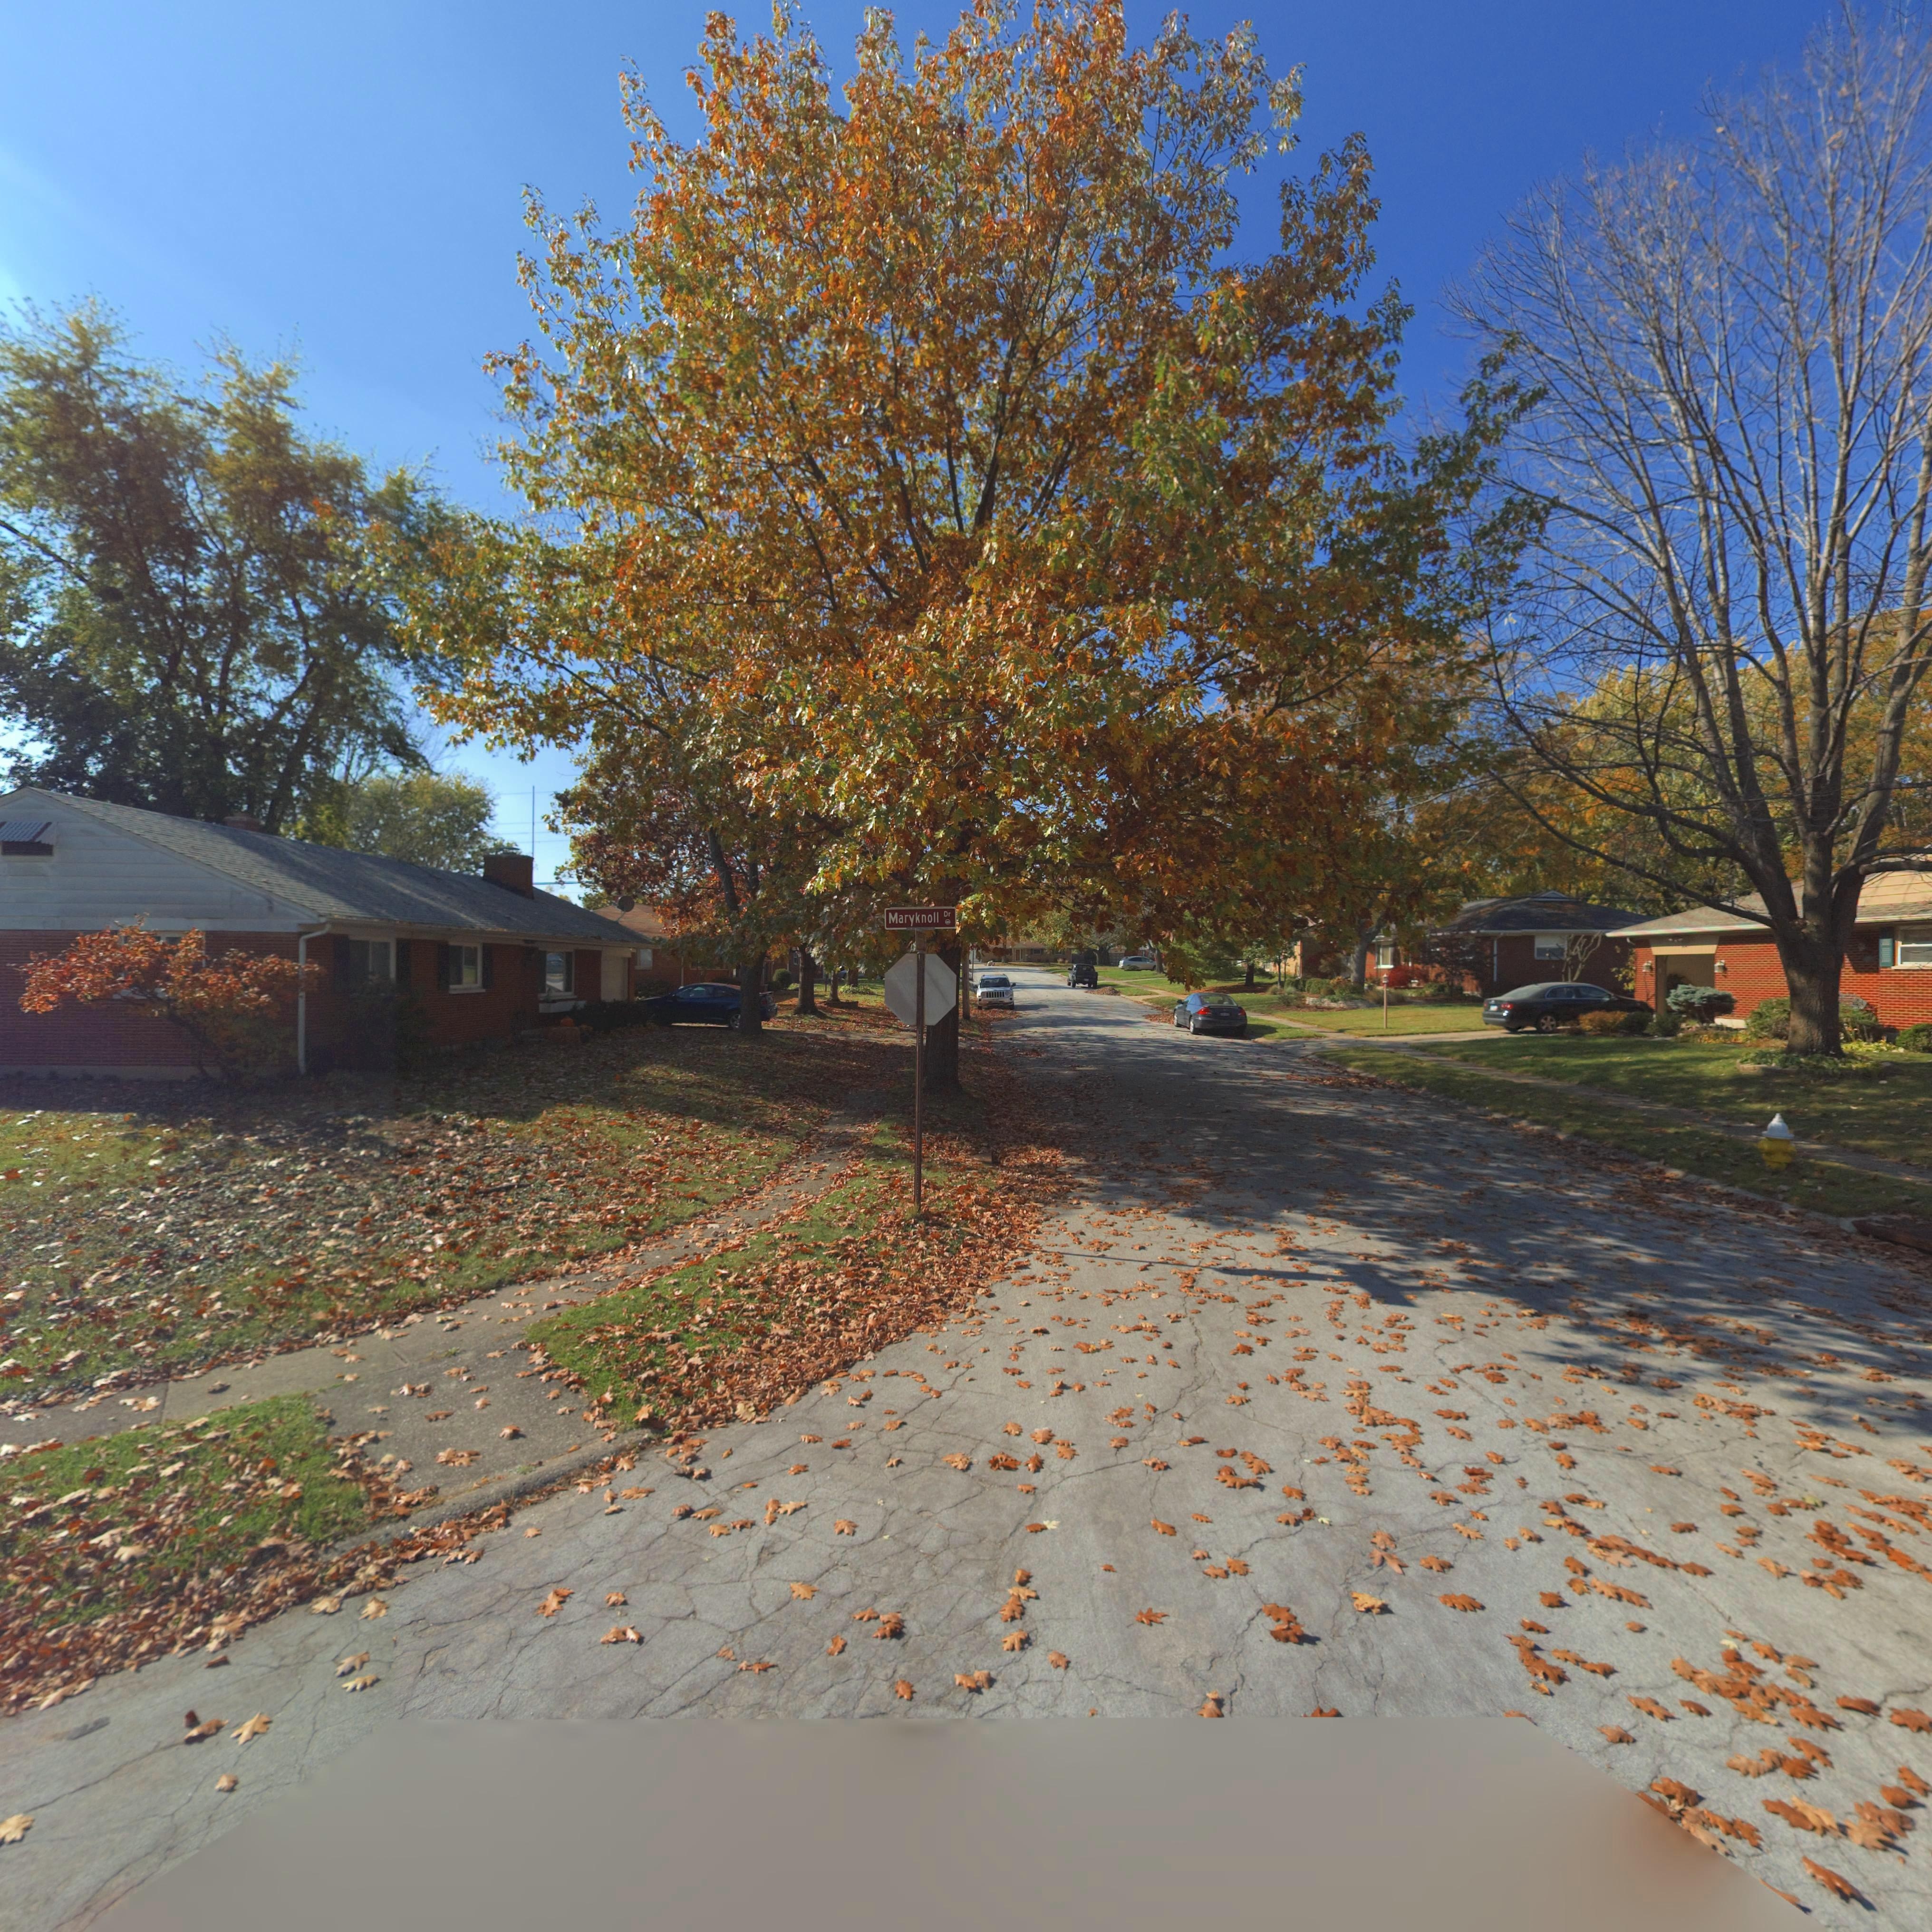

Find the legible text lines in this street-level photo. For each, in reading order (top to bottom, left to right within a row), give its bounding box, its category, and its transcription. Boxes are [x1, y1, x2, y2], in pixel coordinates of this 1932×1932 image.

[888, 910, 951, 927] StreetName: Maryknoll Dr